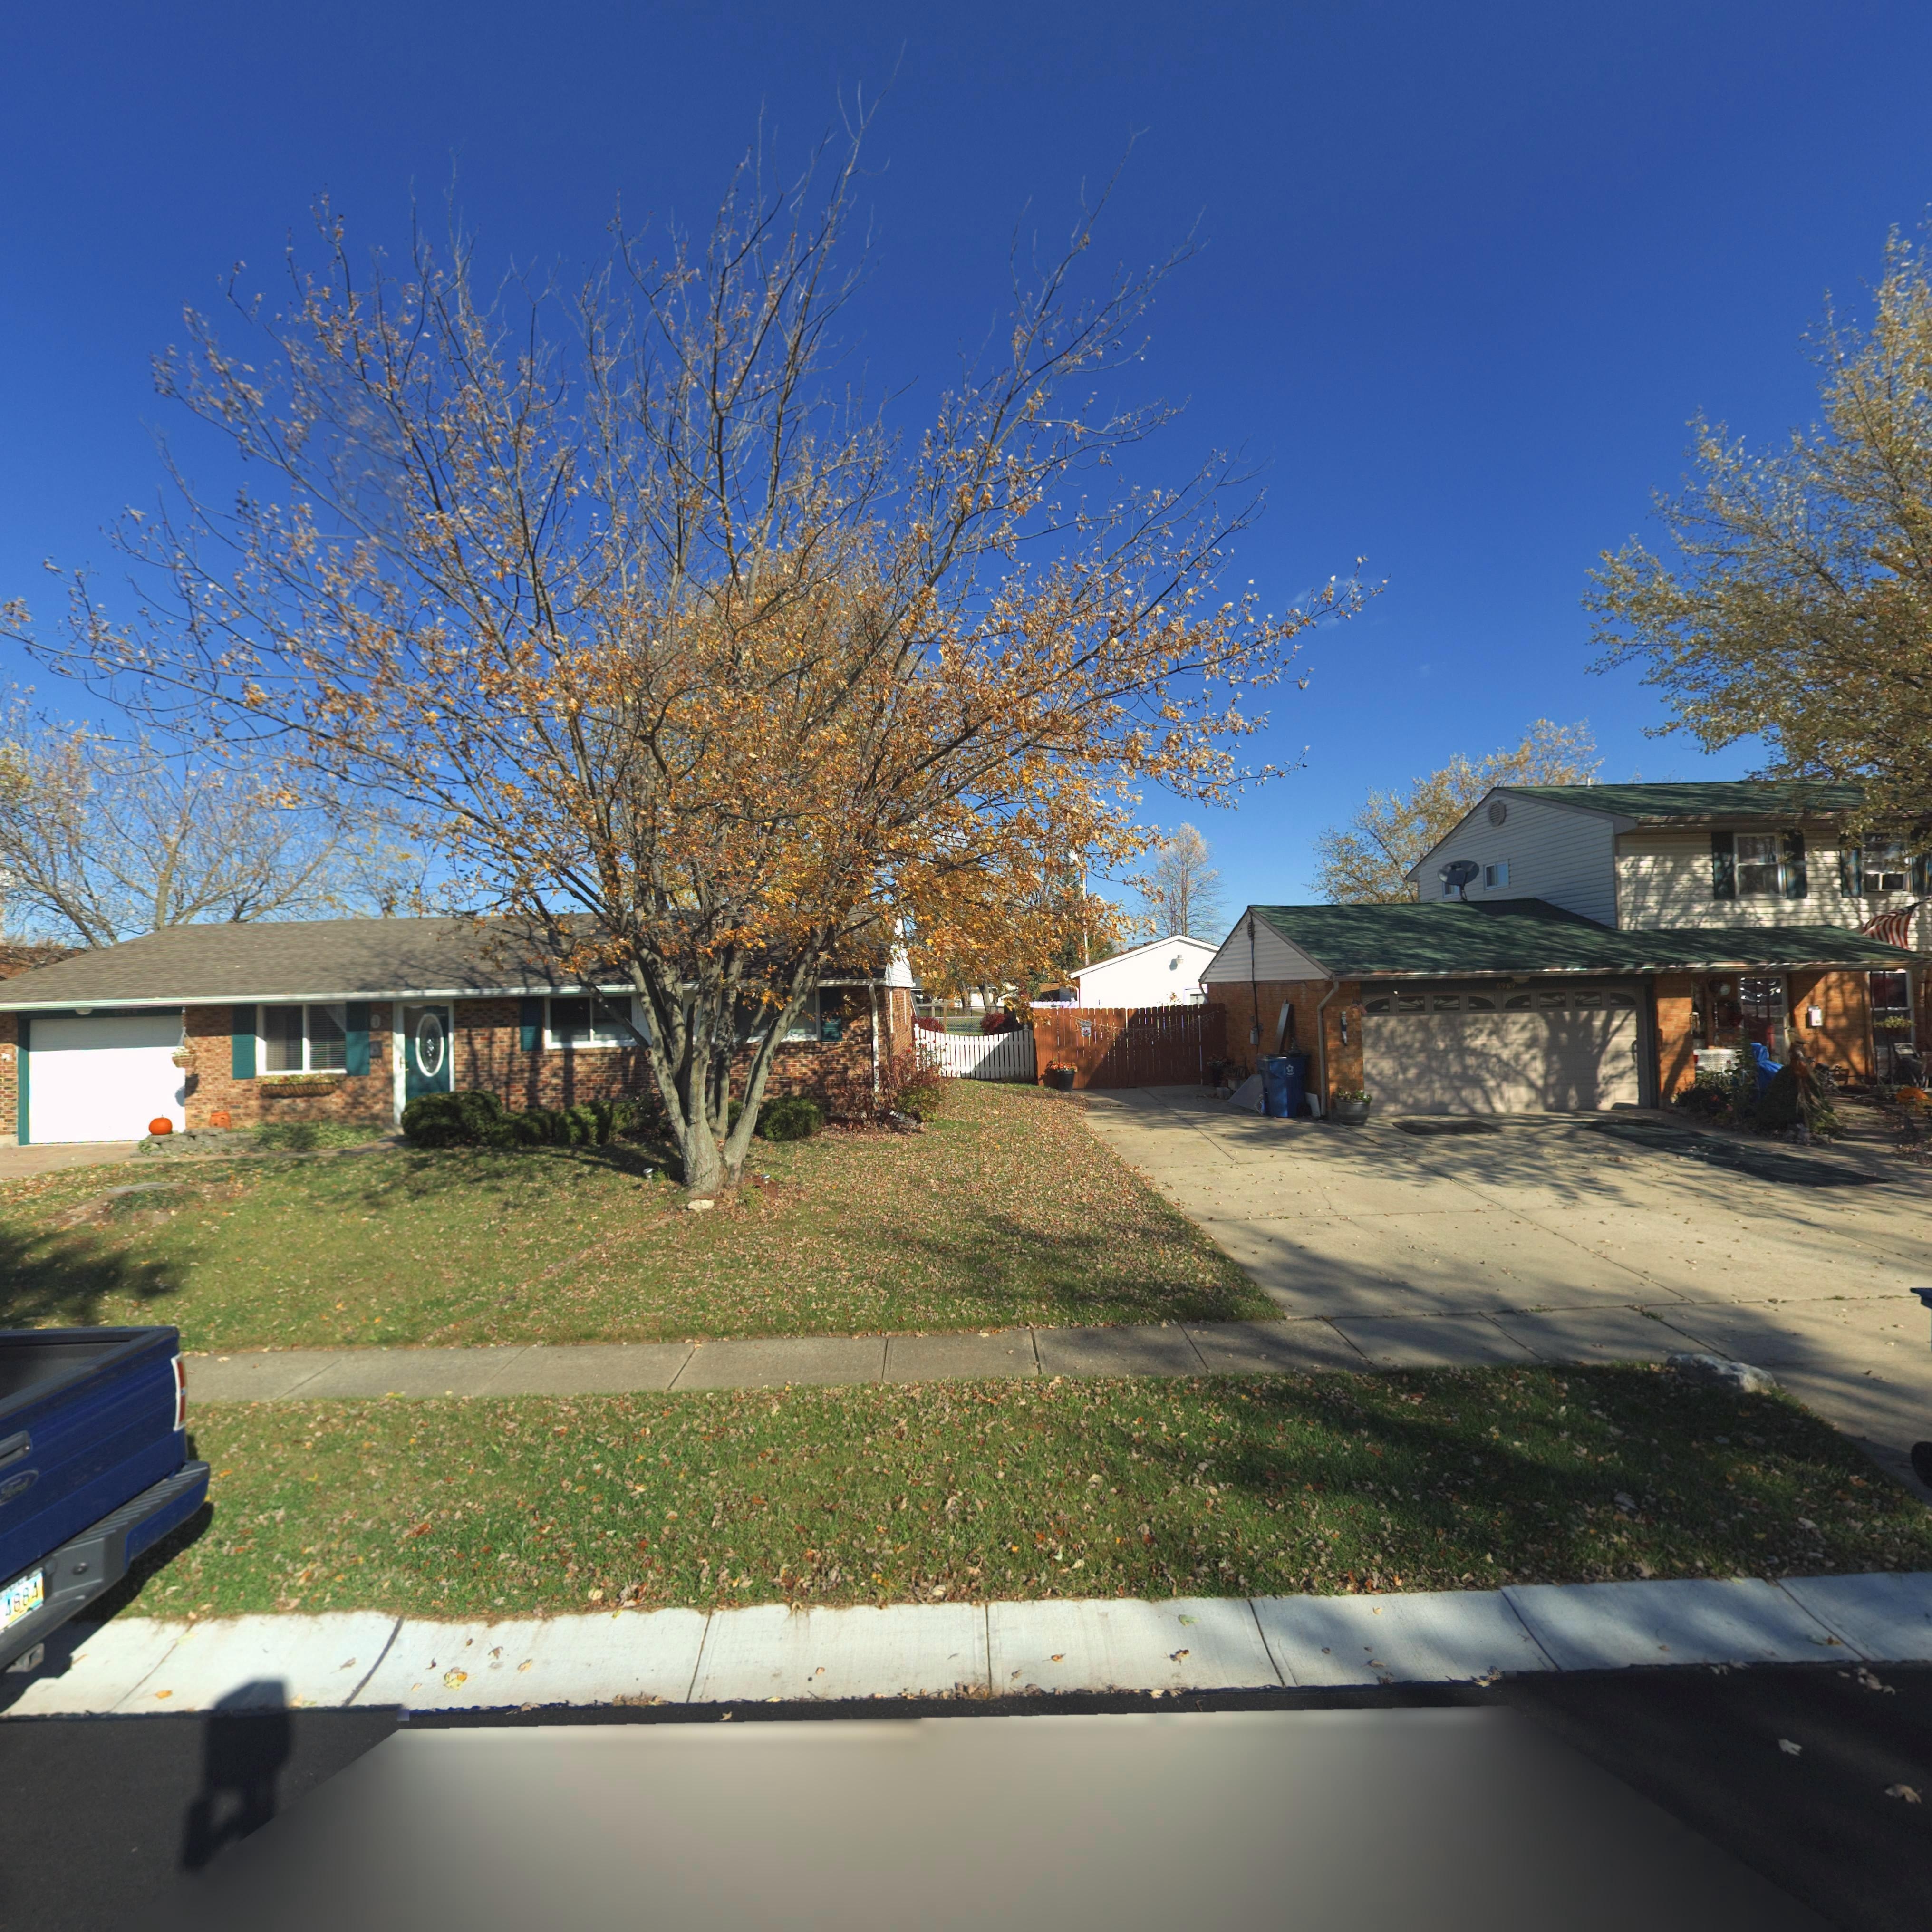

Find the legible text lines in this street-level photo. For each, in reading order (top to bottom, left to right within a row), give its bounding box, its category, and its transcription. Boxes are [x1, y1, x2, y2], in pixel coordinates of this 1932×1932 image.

[1496, 981, 1516, 990] StreetNumber: 6989
[113, 1008, 138, 1016] StreetNumber: 697*